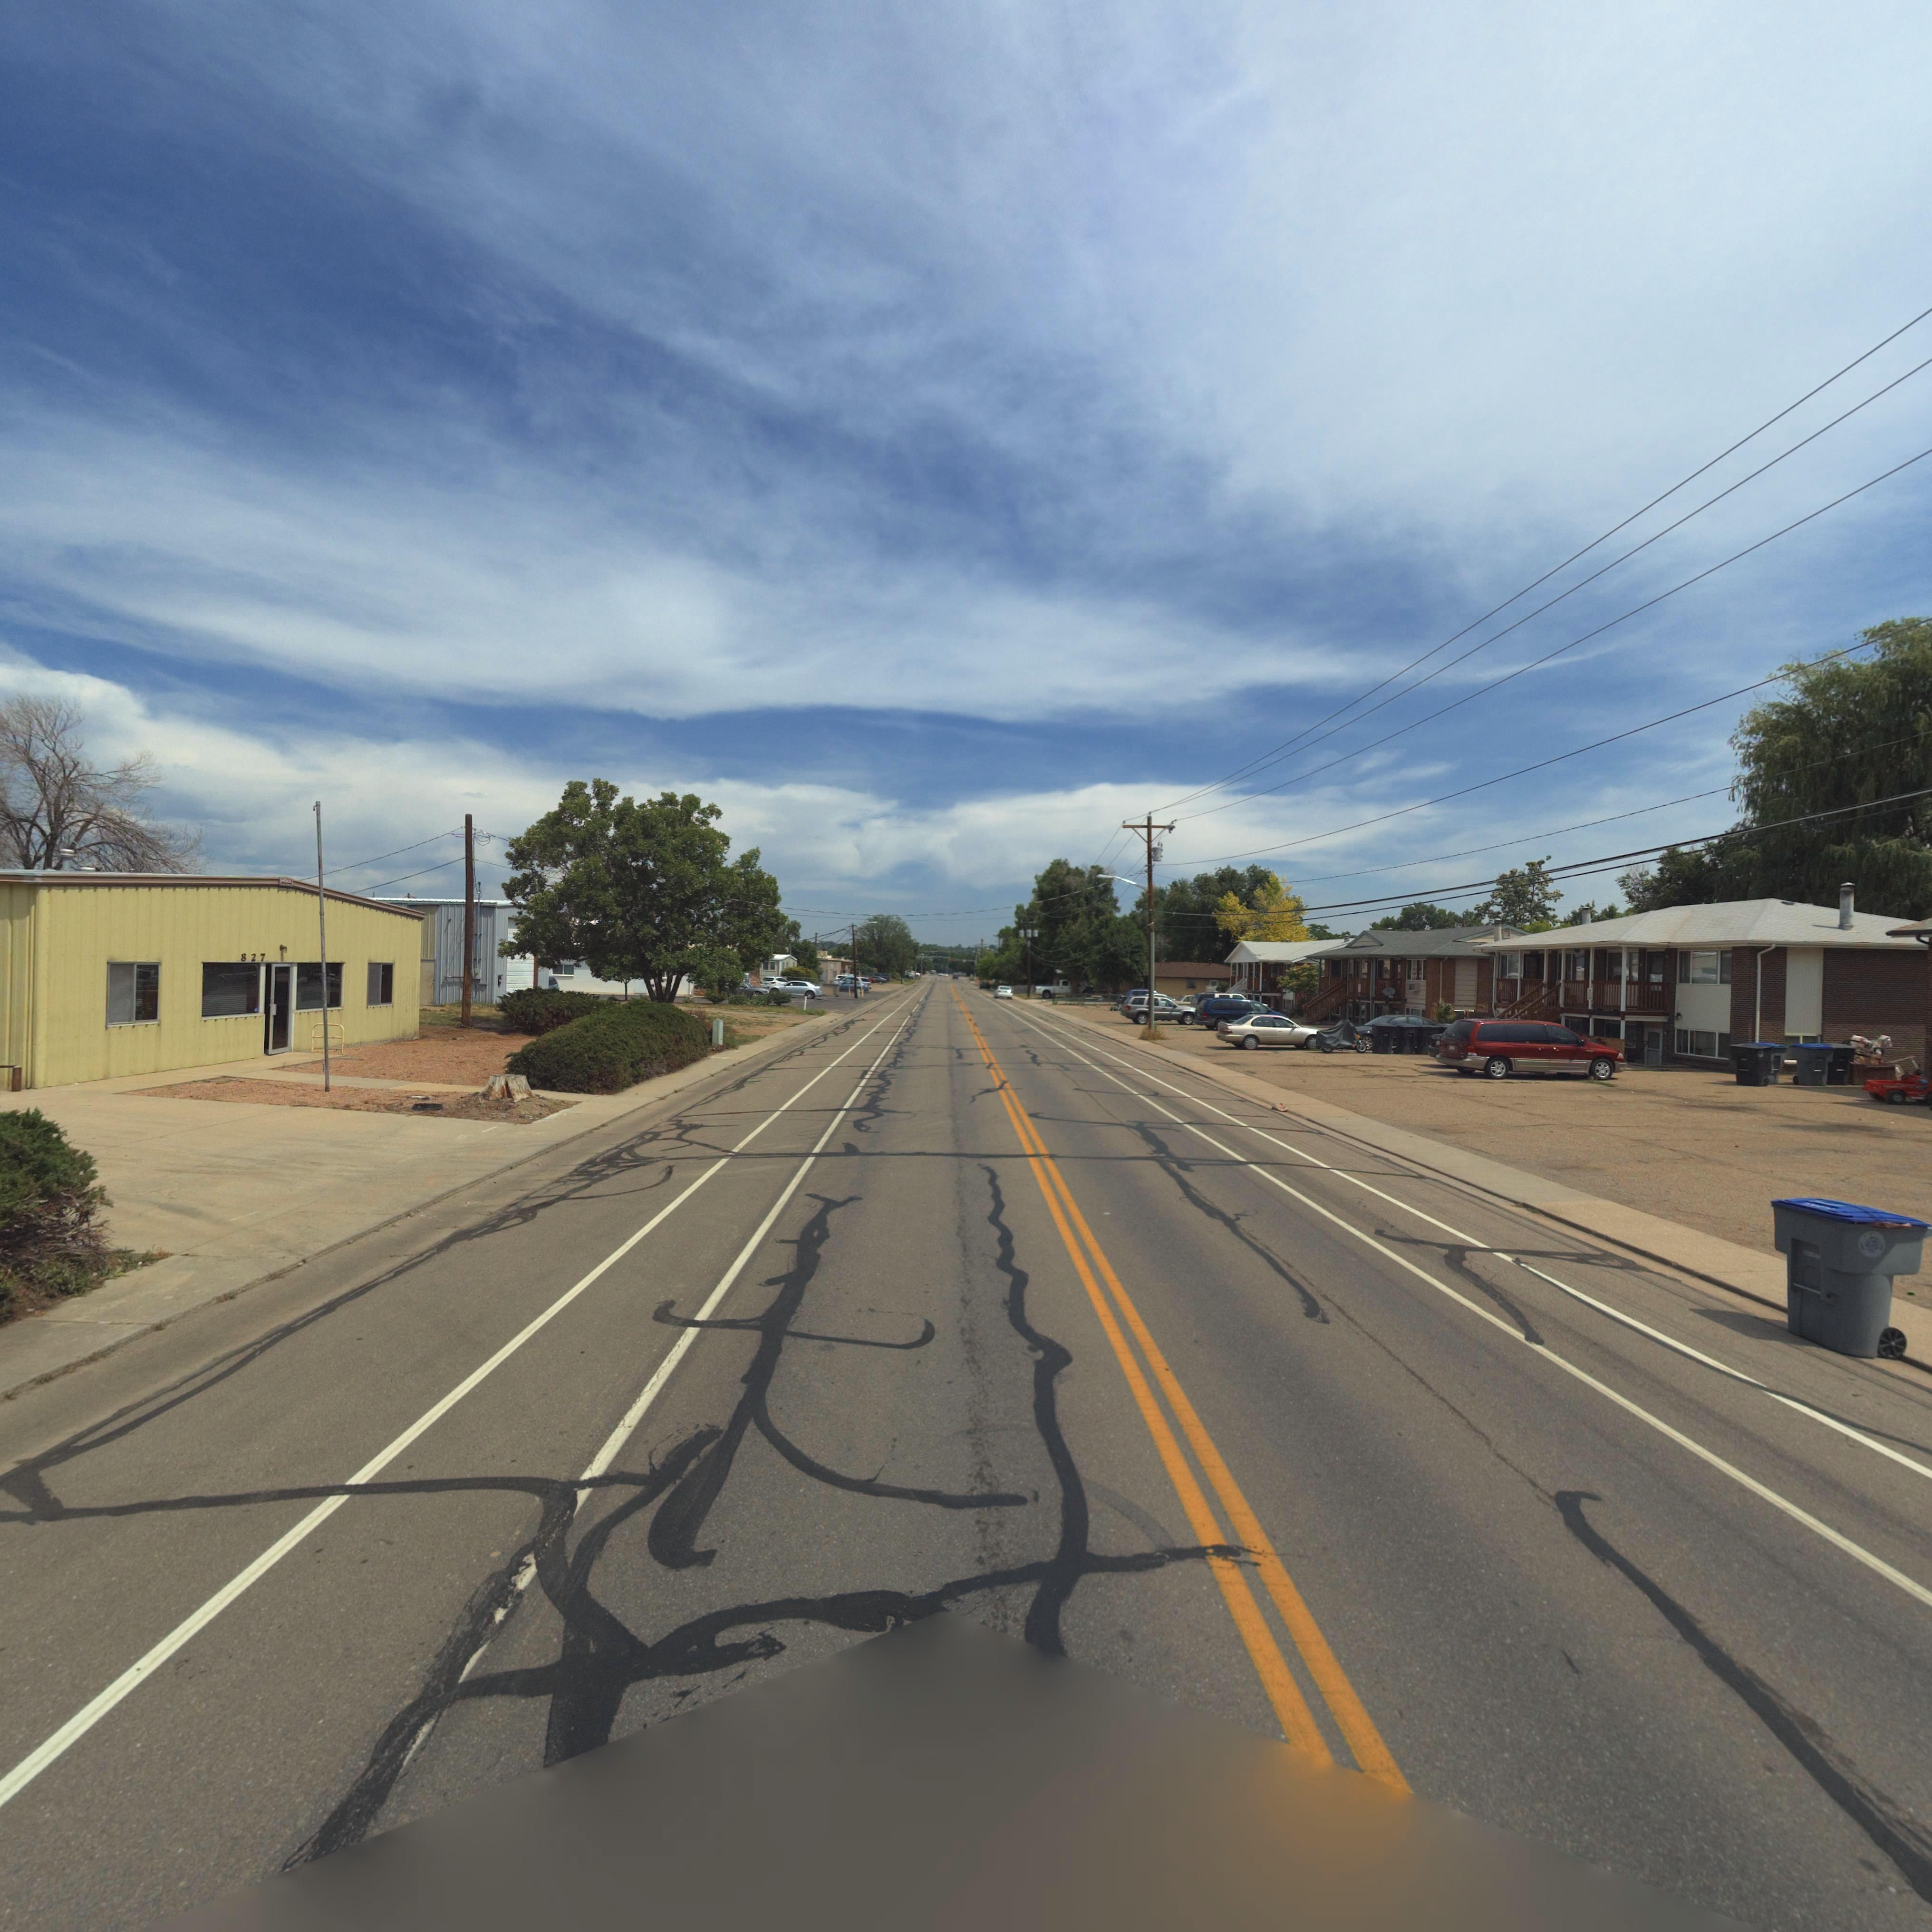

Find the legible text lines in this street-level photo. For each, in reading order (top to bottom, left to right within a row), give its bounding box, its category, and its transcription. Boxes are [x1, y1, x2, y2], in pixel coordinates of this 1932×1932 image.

[241, 953, 266, 962] StreetNumber: 827